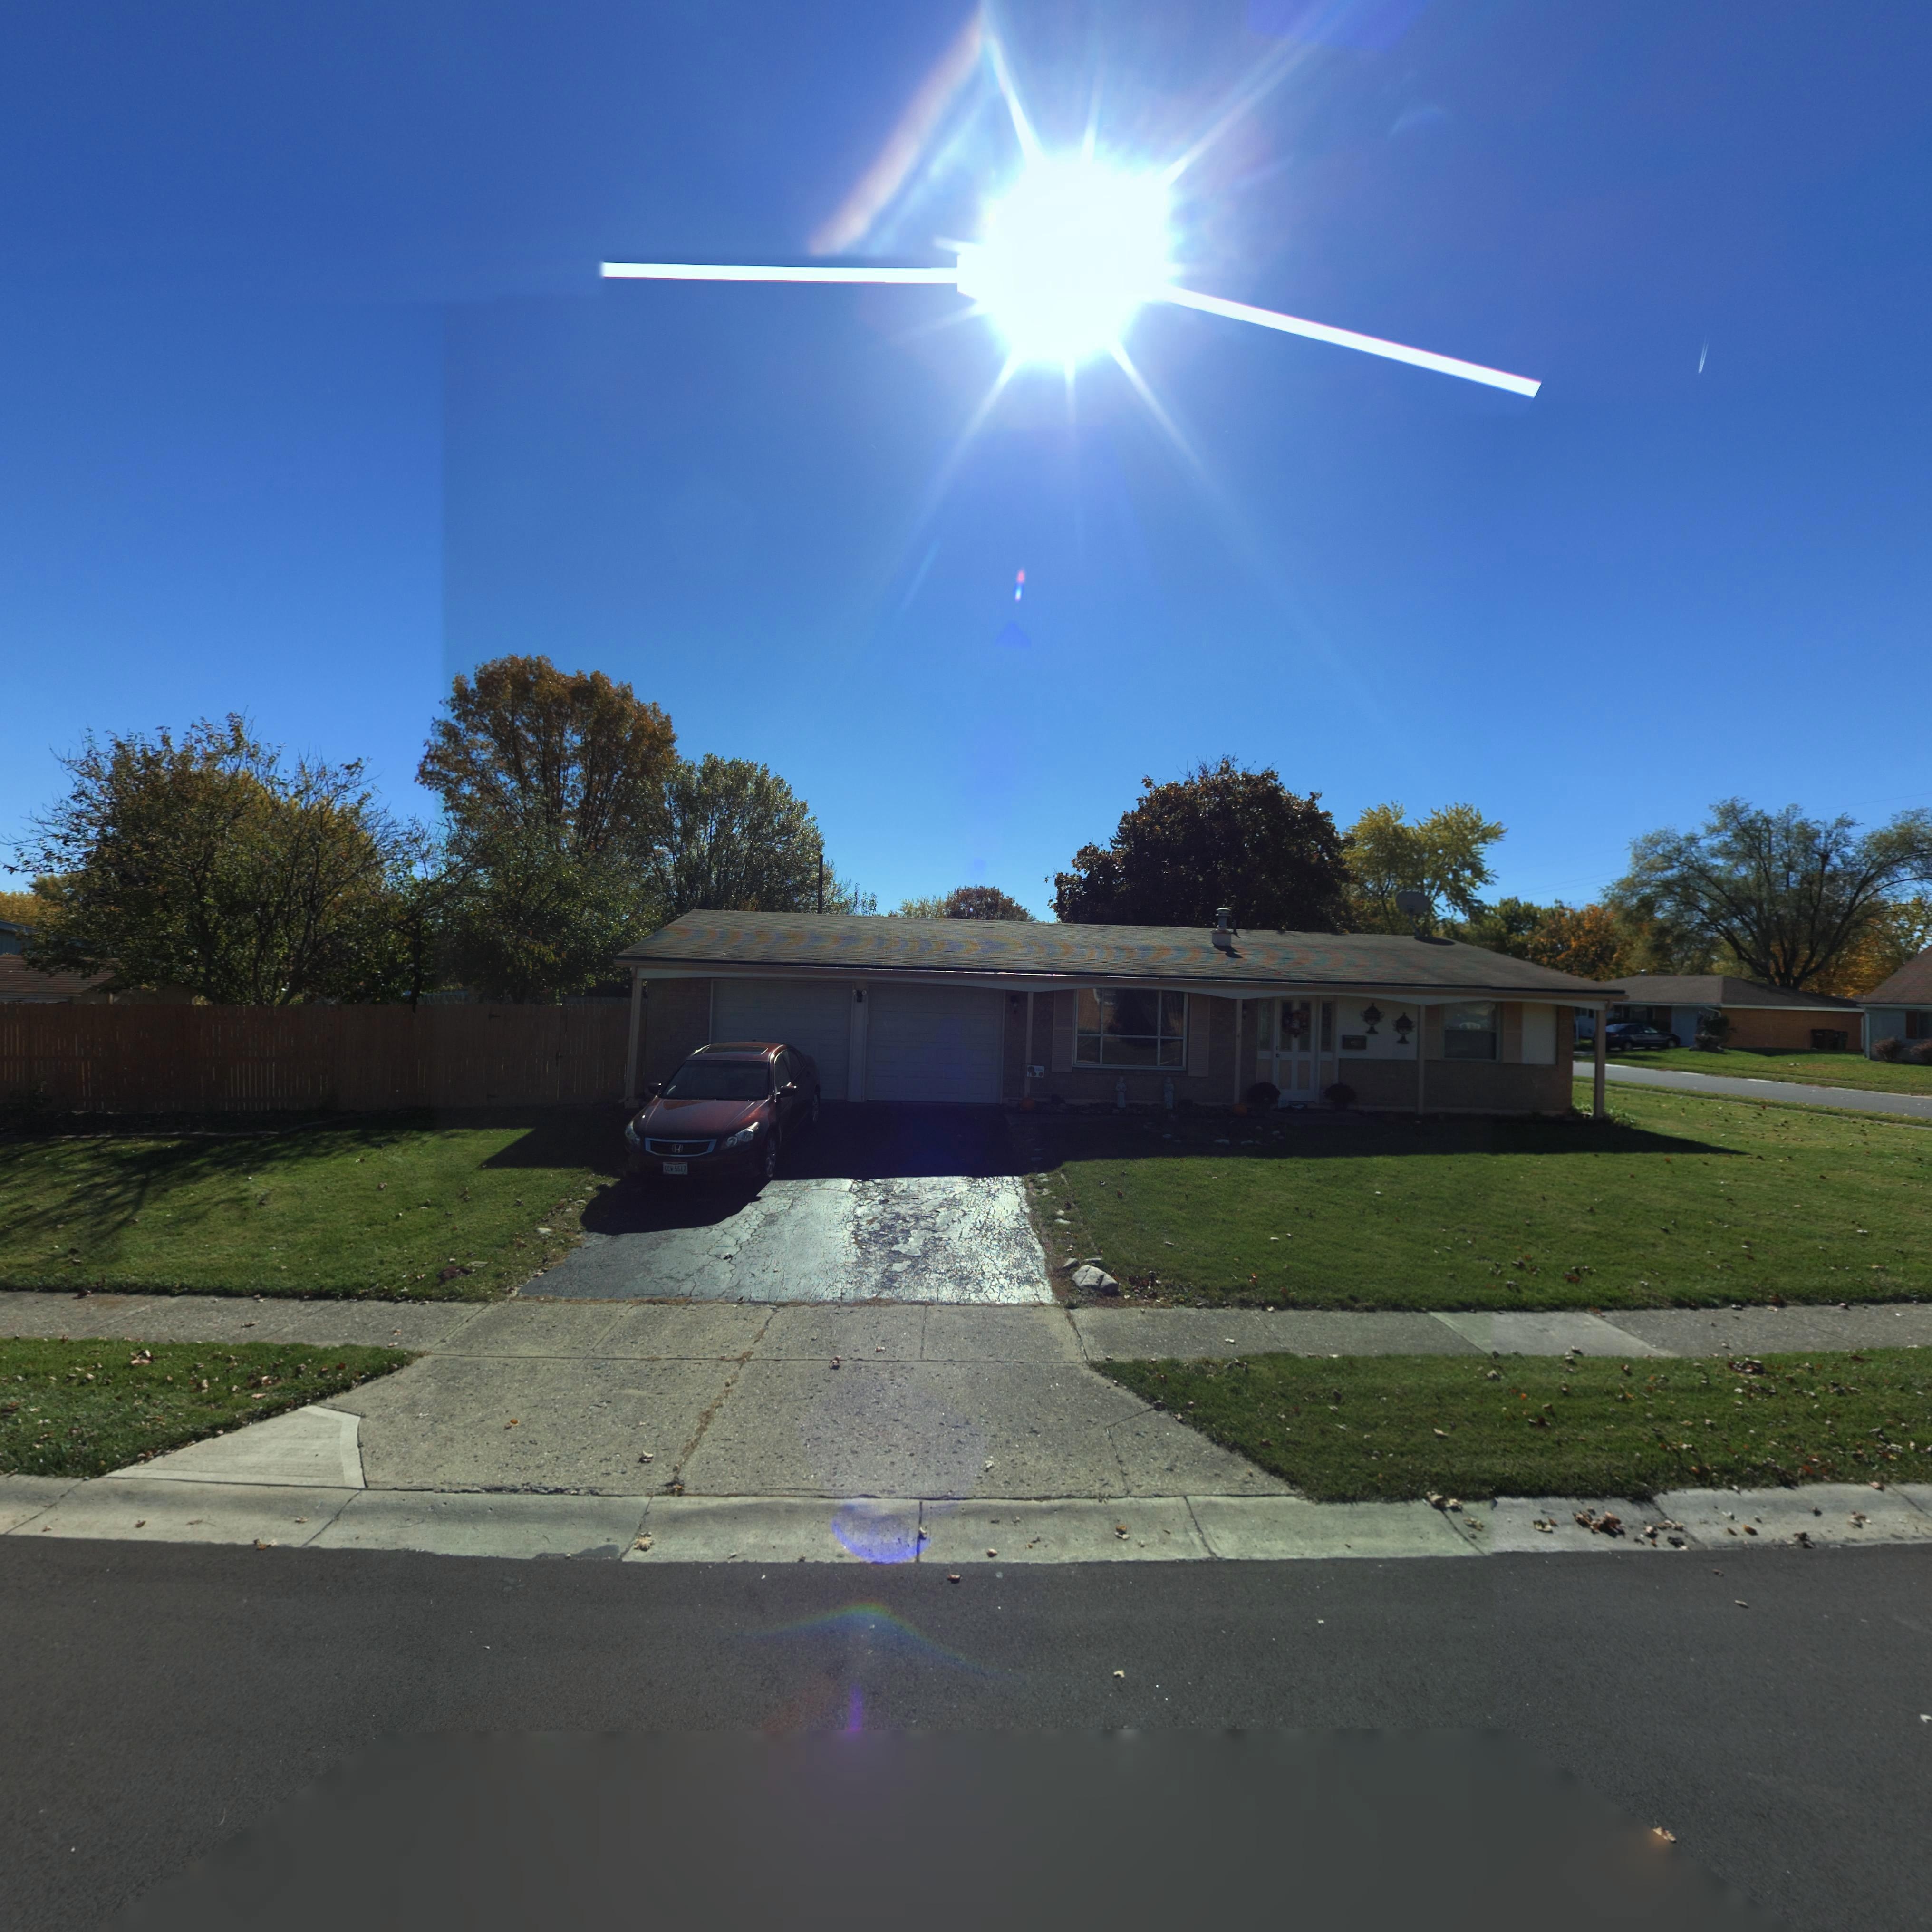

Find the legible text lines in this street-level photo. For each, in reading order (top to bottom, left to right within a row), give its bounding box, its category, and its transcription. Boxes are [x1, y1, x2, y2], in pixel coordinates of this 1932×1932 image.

[1236, 1032, 1241, 1039] StreetNumber: 4